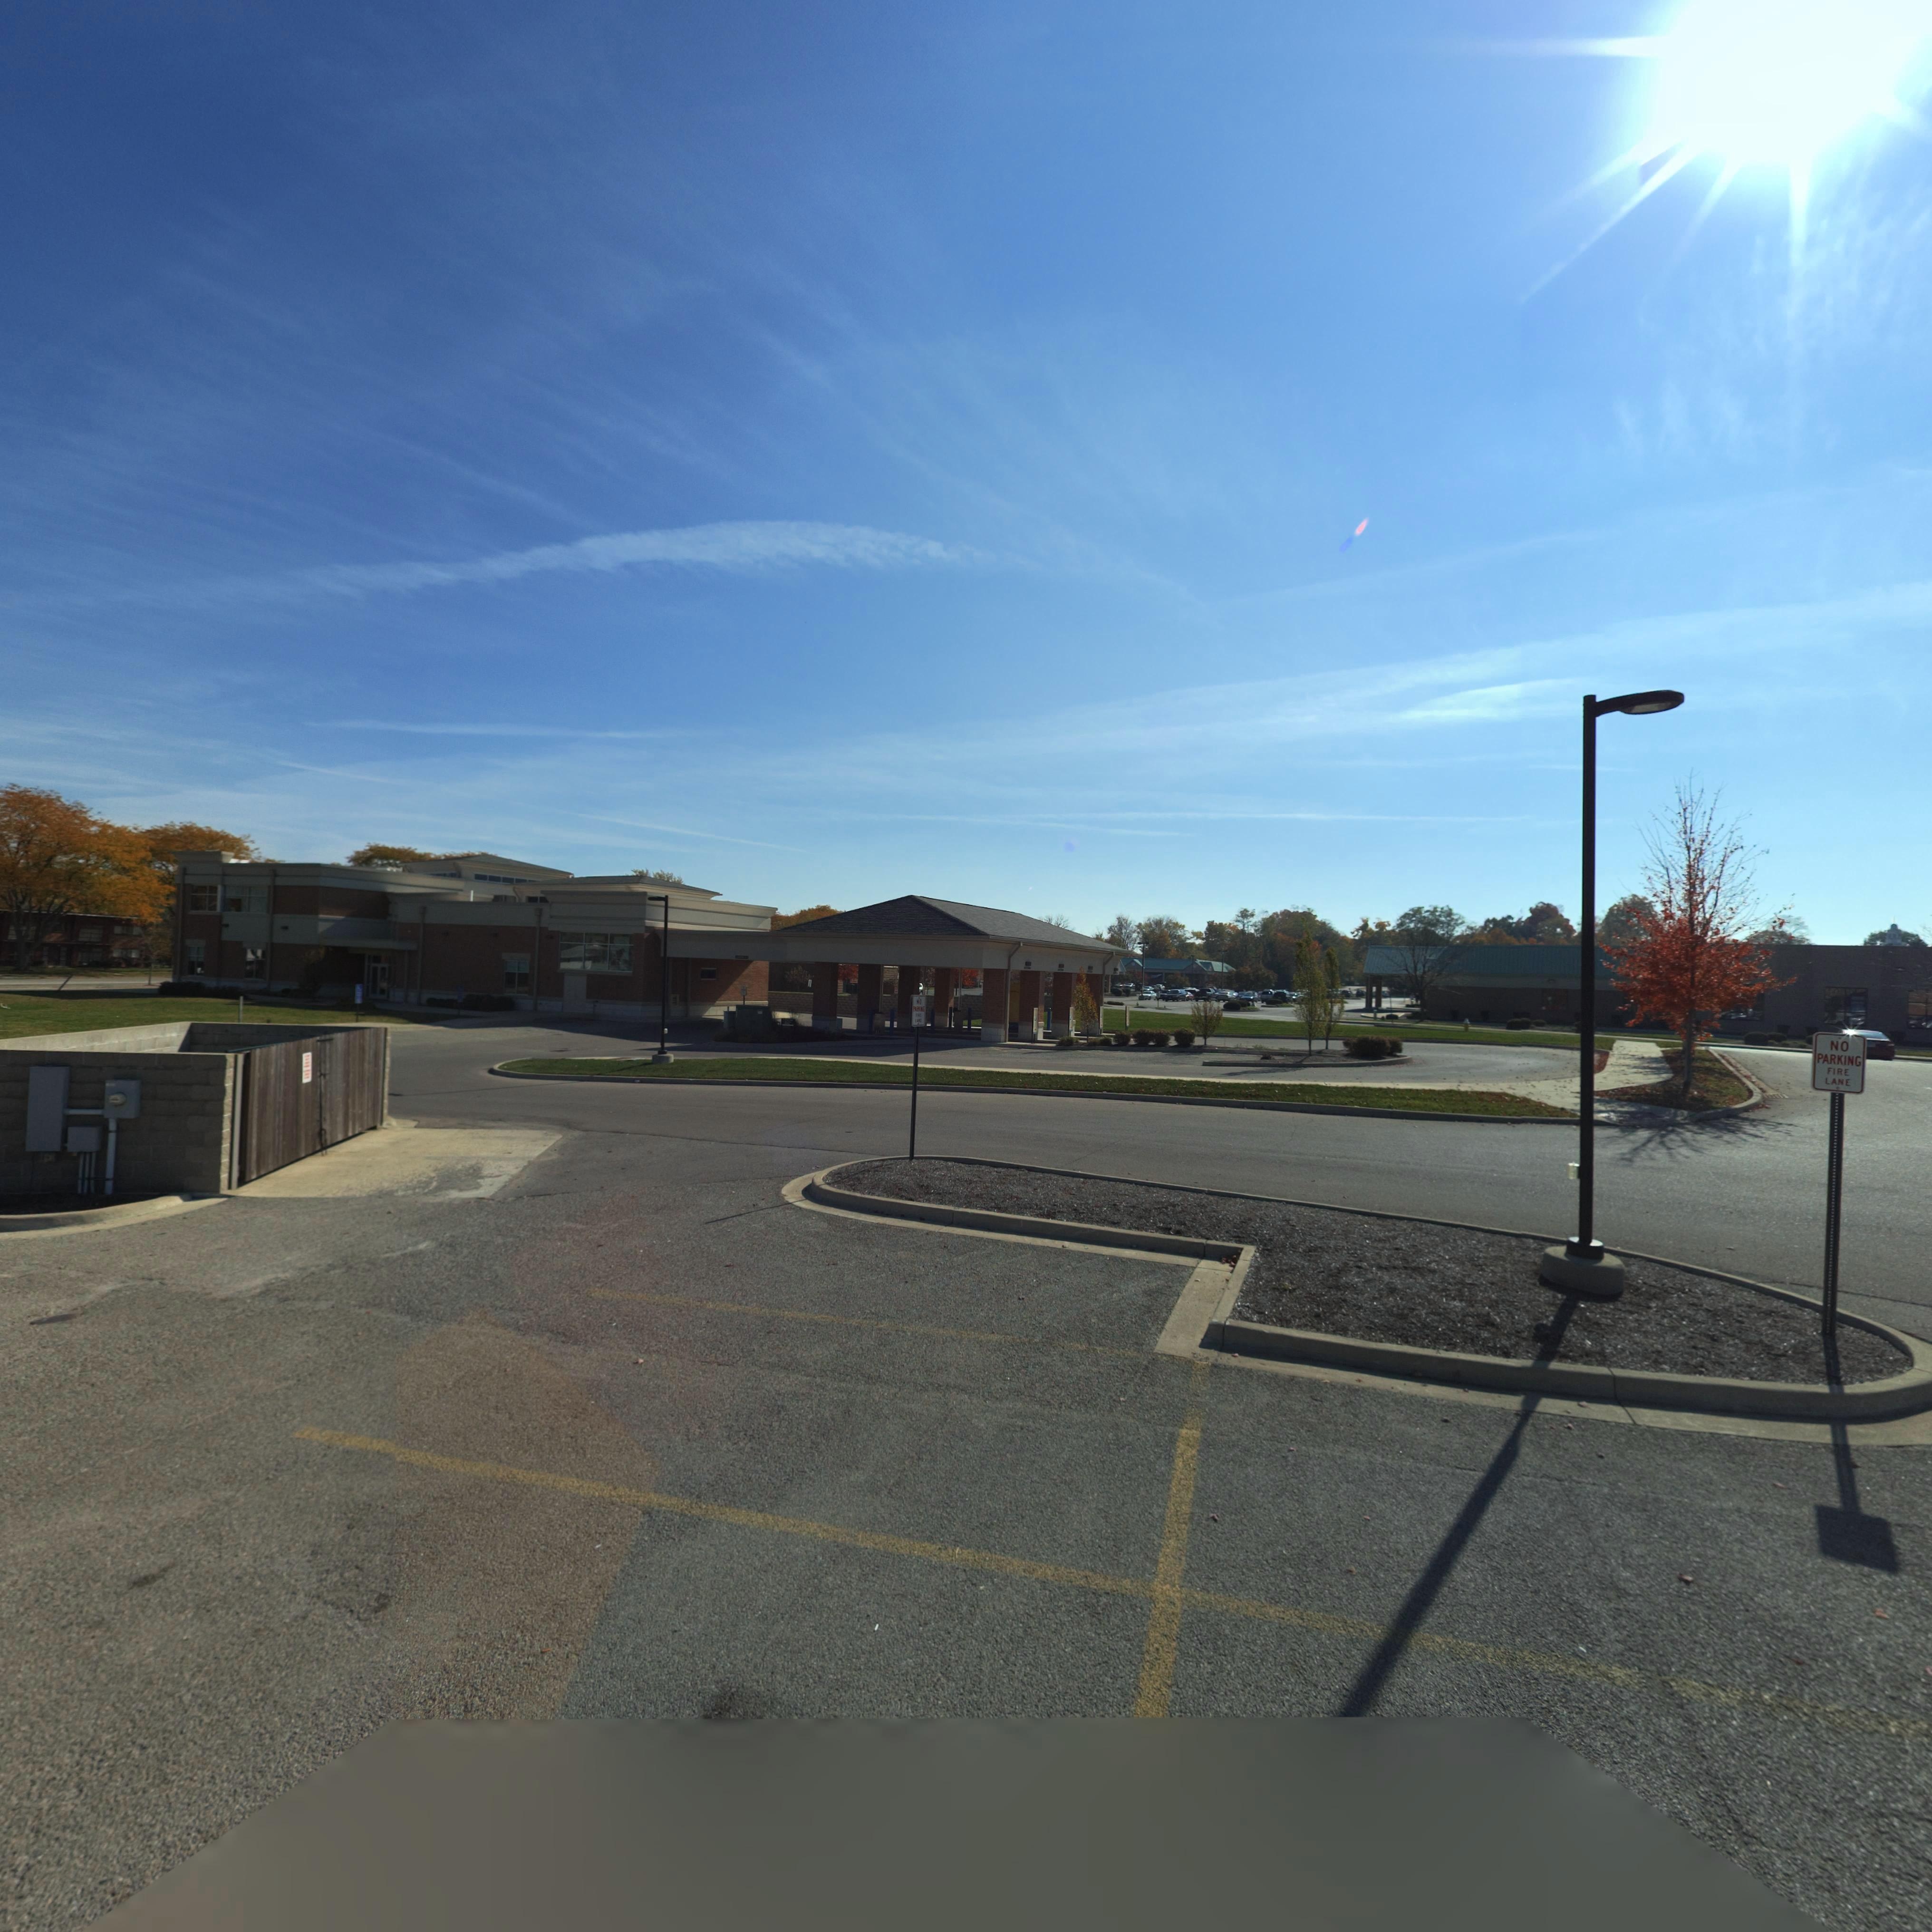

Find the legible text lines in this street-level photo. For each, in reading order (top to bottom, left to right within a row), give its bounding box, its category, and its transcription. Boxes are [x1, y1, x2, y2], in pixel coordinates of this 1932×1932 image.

[916, 998, 923, 1006] None: *O